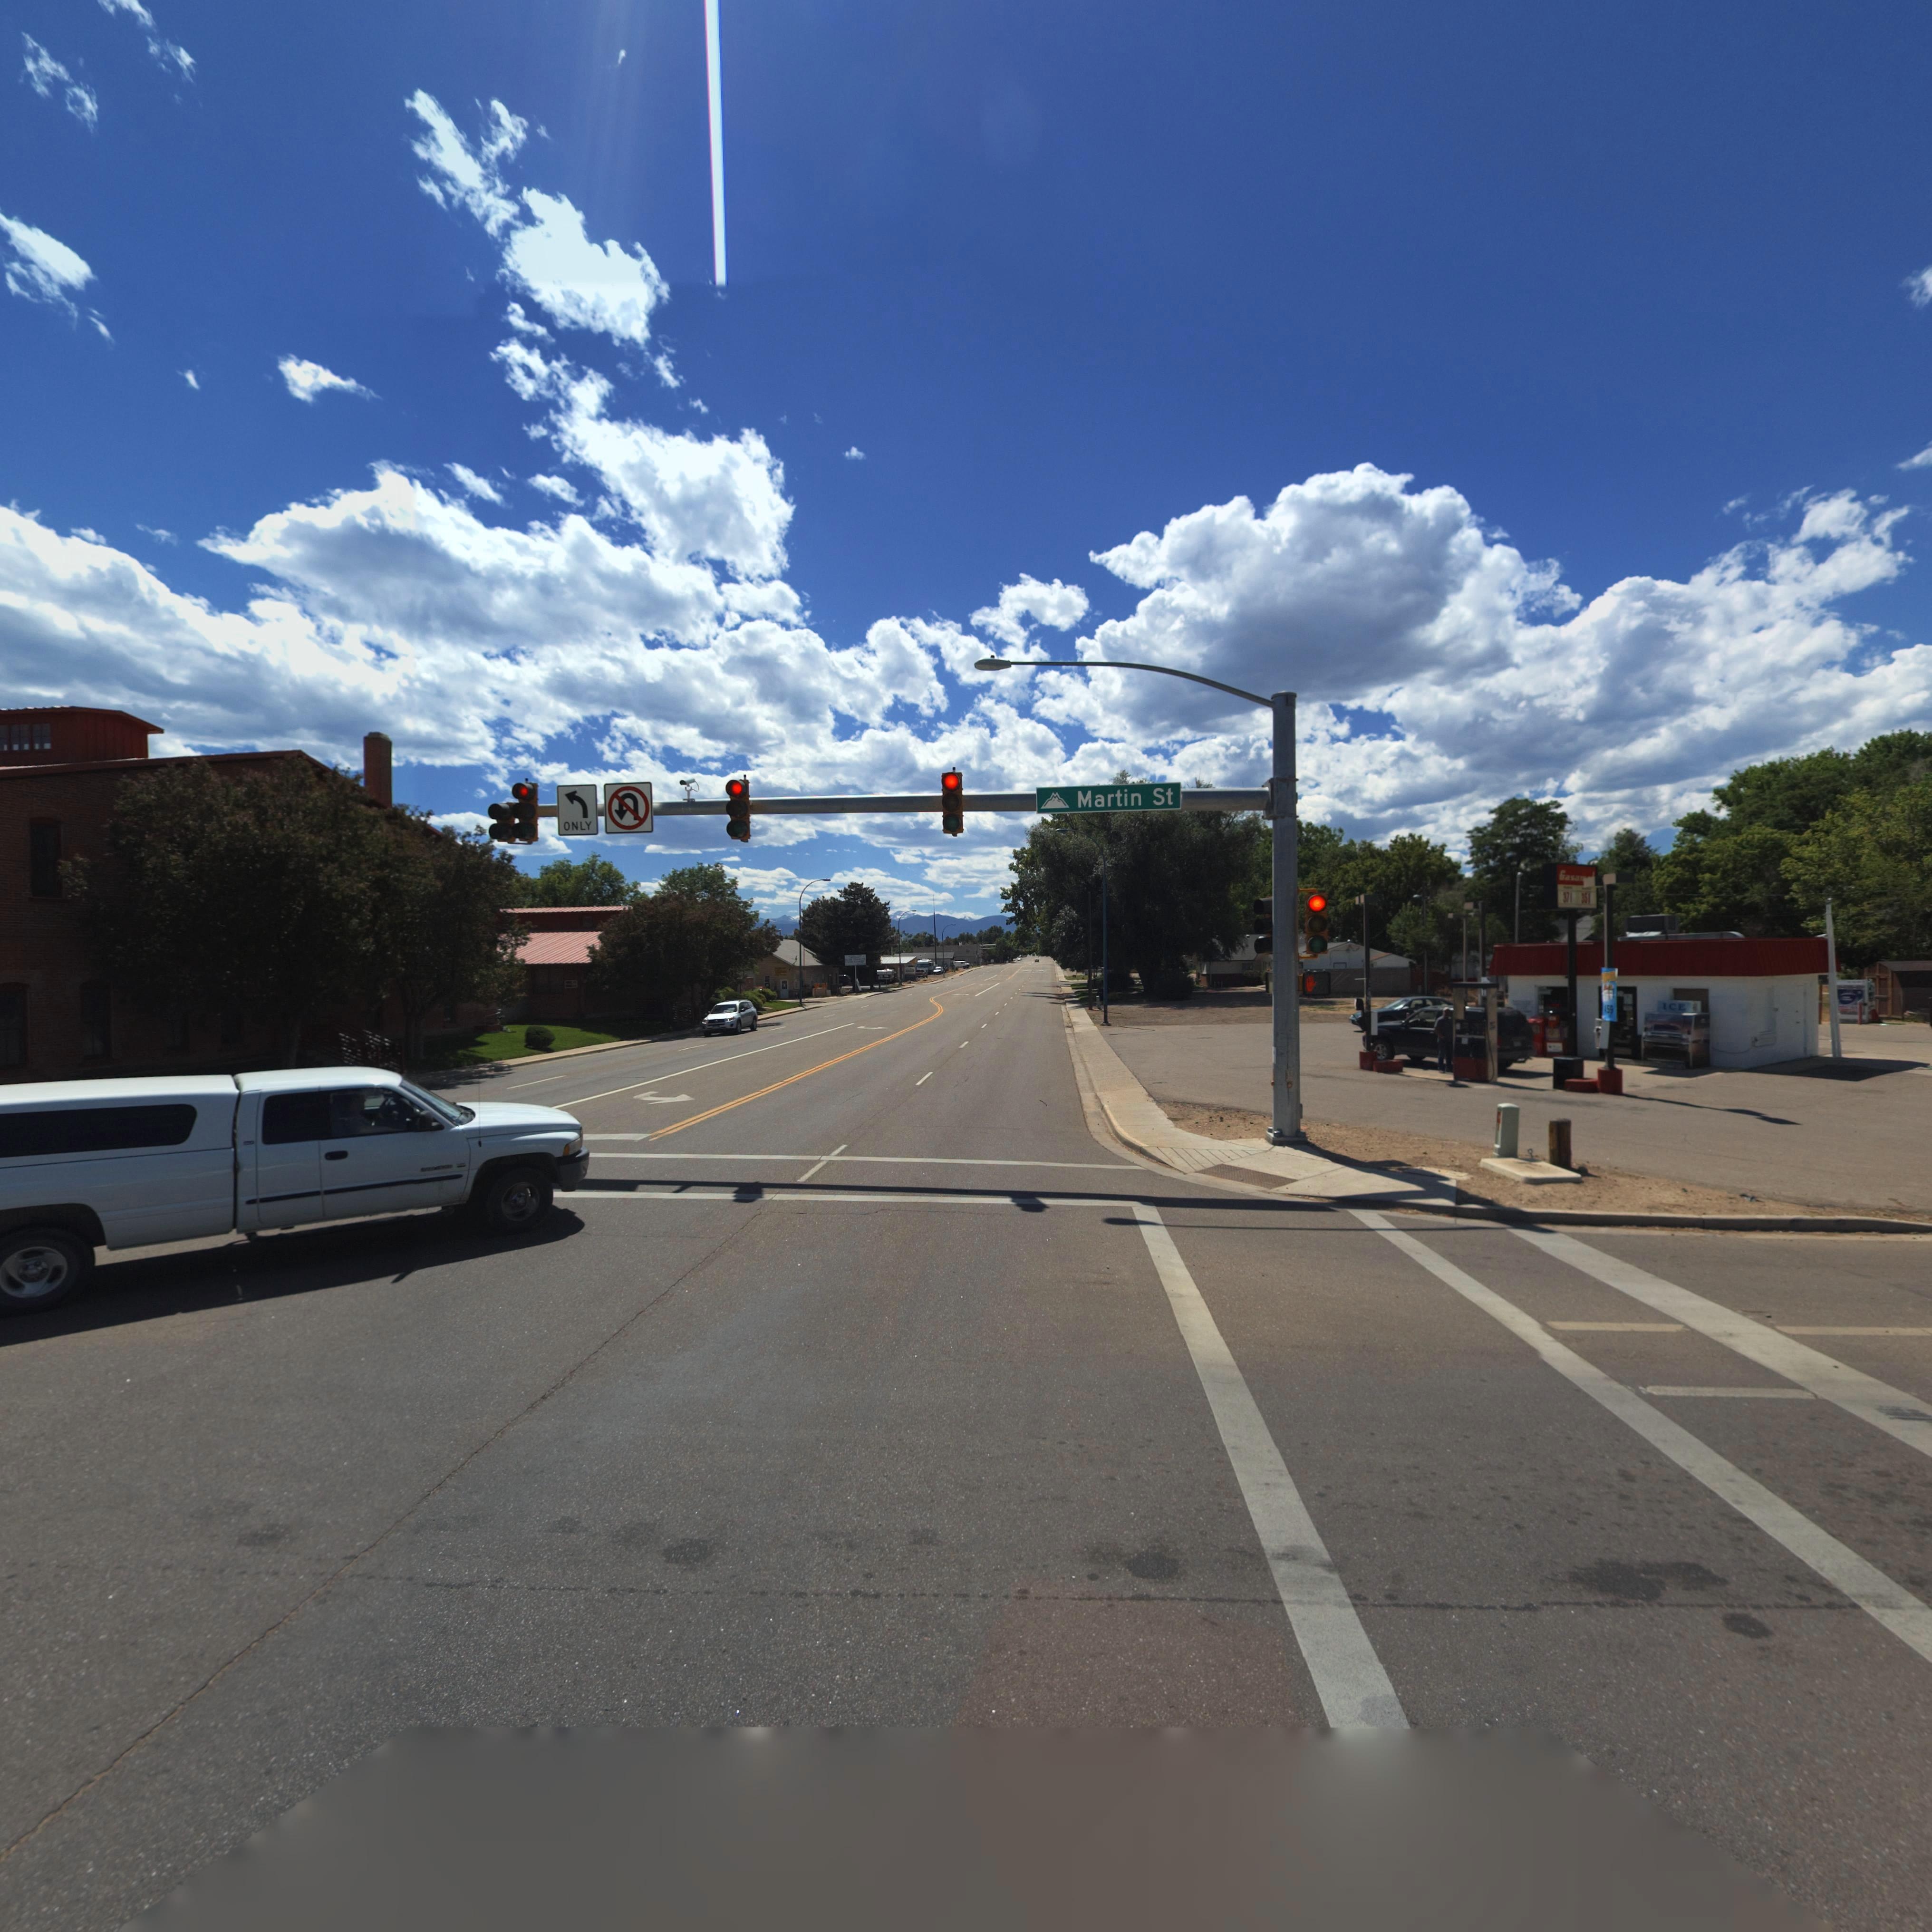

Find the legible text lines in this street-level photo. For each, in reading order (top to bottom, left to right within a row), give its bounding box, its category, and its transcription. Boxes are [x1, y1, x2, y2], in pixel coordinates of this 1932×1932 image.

[1077, 787, 1173, 808] StreetName: Martin St
[1558, 869, 1595, 882] BusinessName: Gasa***